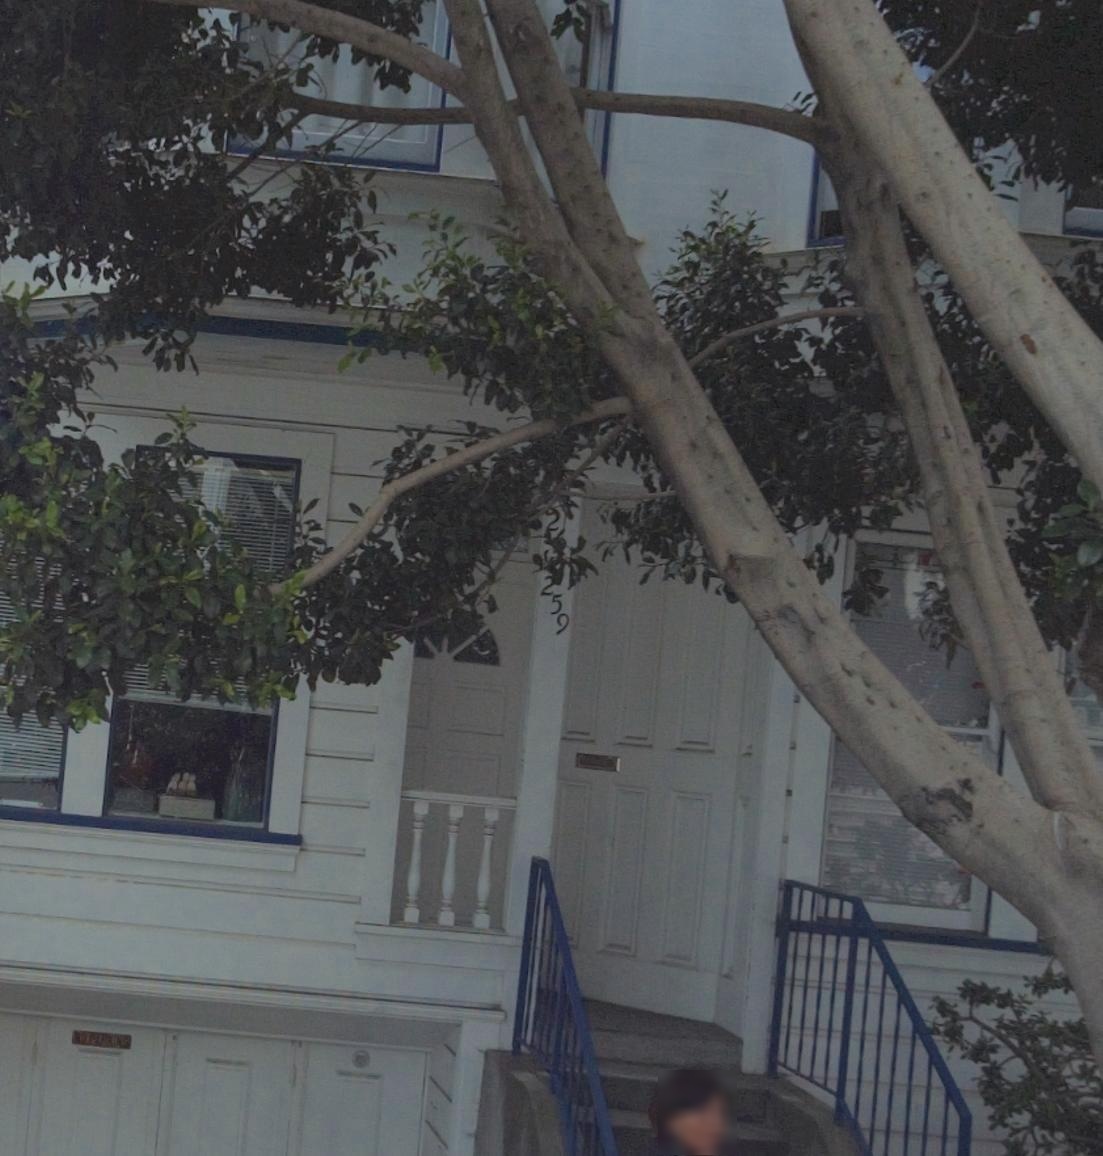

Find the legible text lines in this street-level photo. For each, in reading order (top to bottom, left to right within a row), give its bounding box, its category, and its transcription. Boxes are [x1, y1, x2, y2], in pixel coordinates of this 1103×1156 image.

[537, 572, 574, 642] StreetNumber: 259